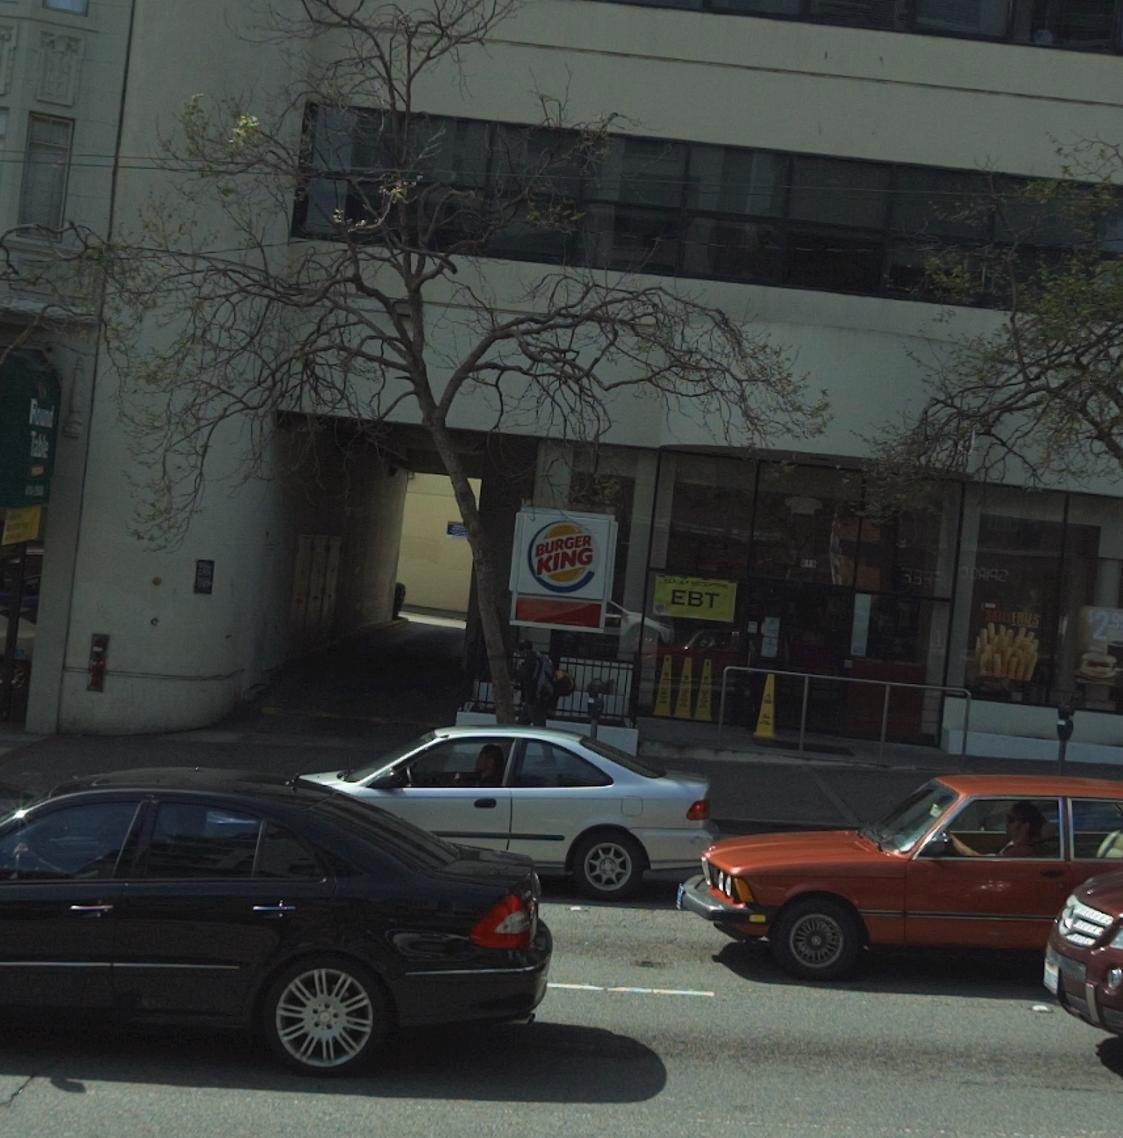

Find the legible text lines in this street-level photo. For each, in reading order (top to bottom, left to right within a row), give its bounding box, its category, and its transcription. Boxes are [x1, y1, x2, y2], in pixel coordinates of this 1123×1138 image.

[26, 395, 56, 431] BusinessName: R***d
[27, 428, 51, 460] BusinessName: Table
[533, 533, 592, 559] BusinessName: BURGER
[534, 545, 594, 578] BusinessName: KING
[899, 564, 946, 588] None: 3333
[957, 563, 1010, 584] None: **A***
[669, 587, 722, 610] None: EBT
[982, 606, 1043, 632] None: SATISFRIES
[1091, 607, 1121, 644] None: 29